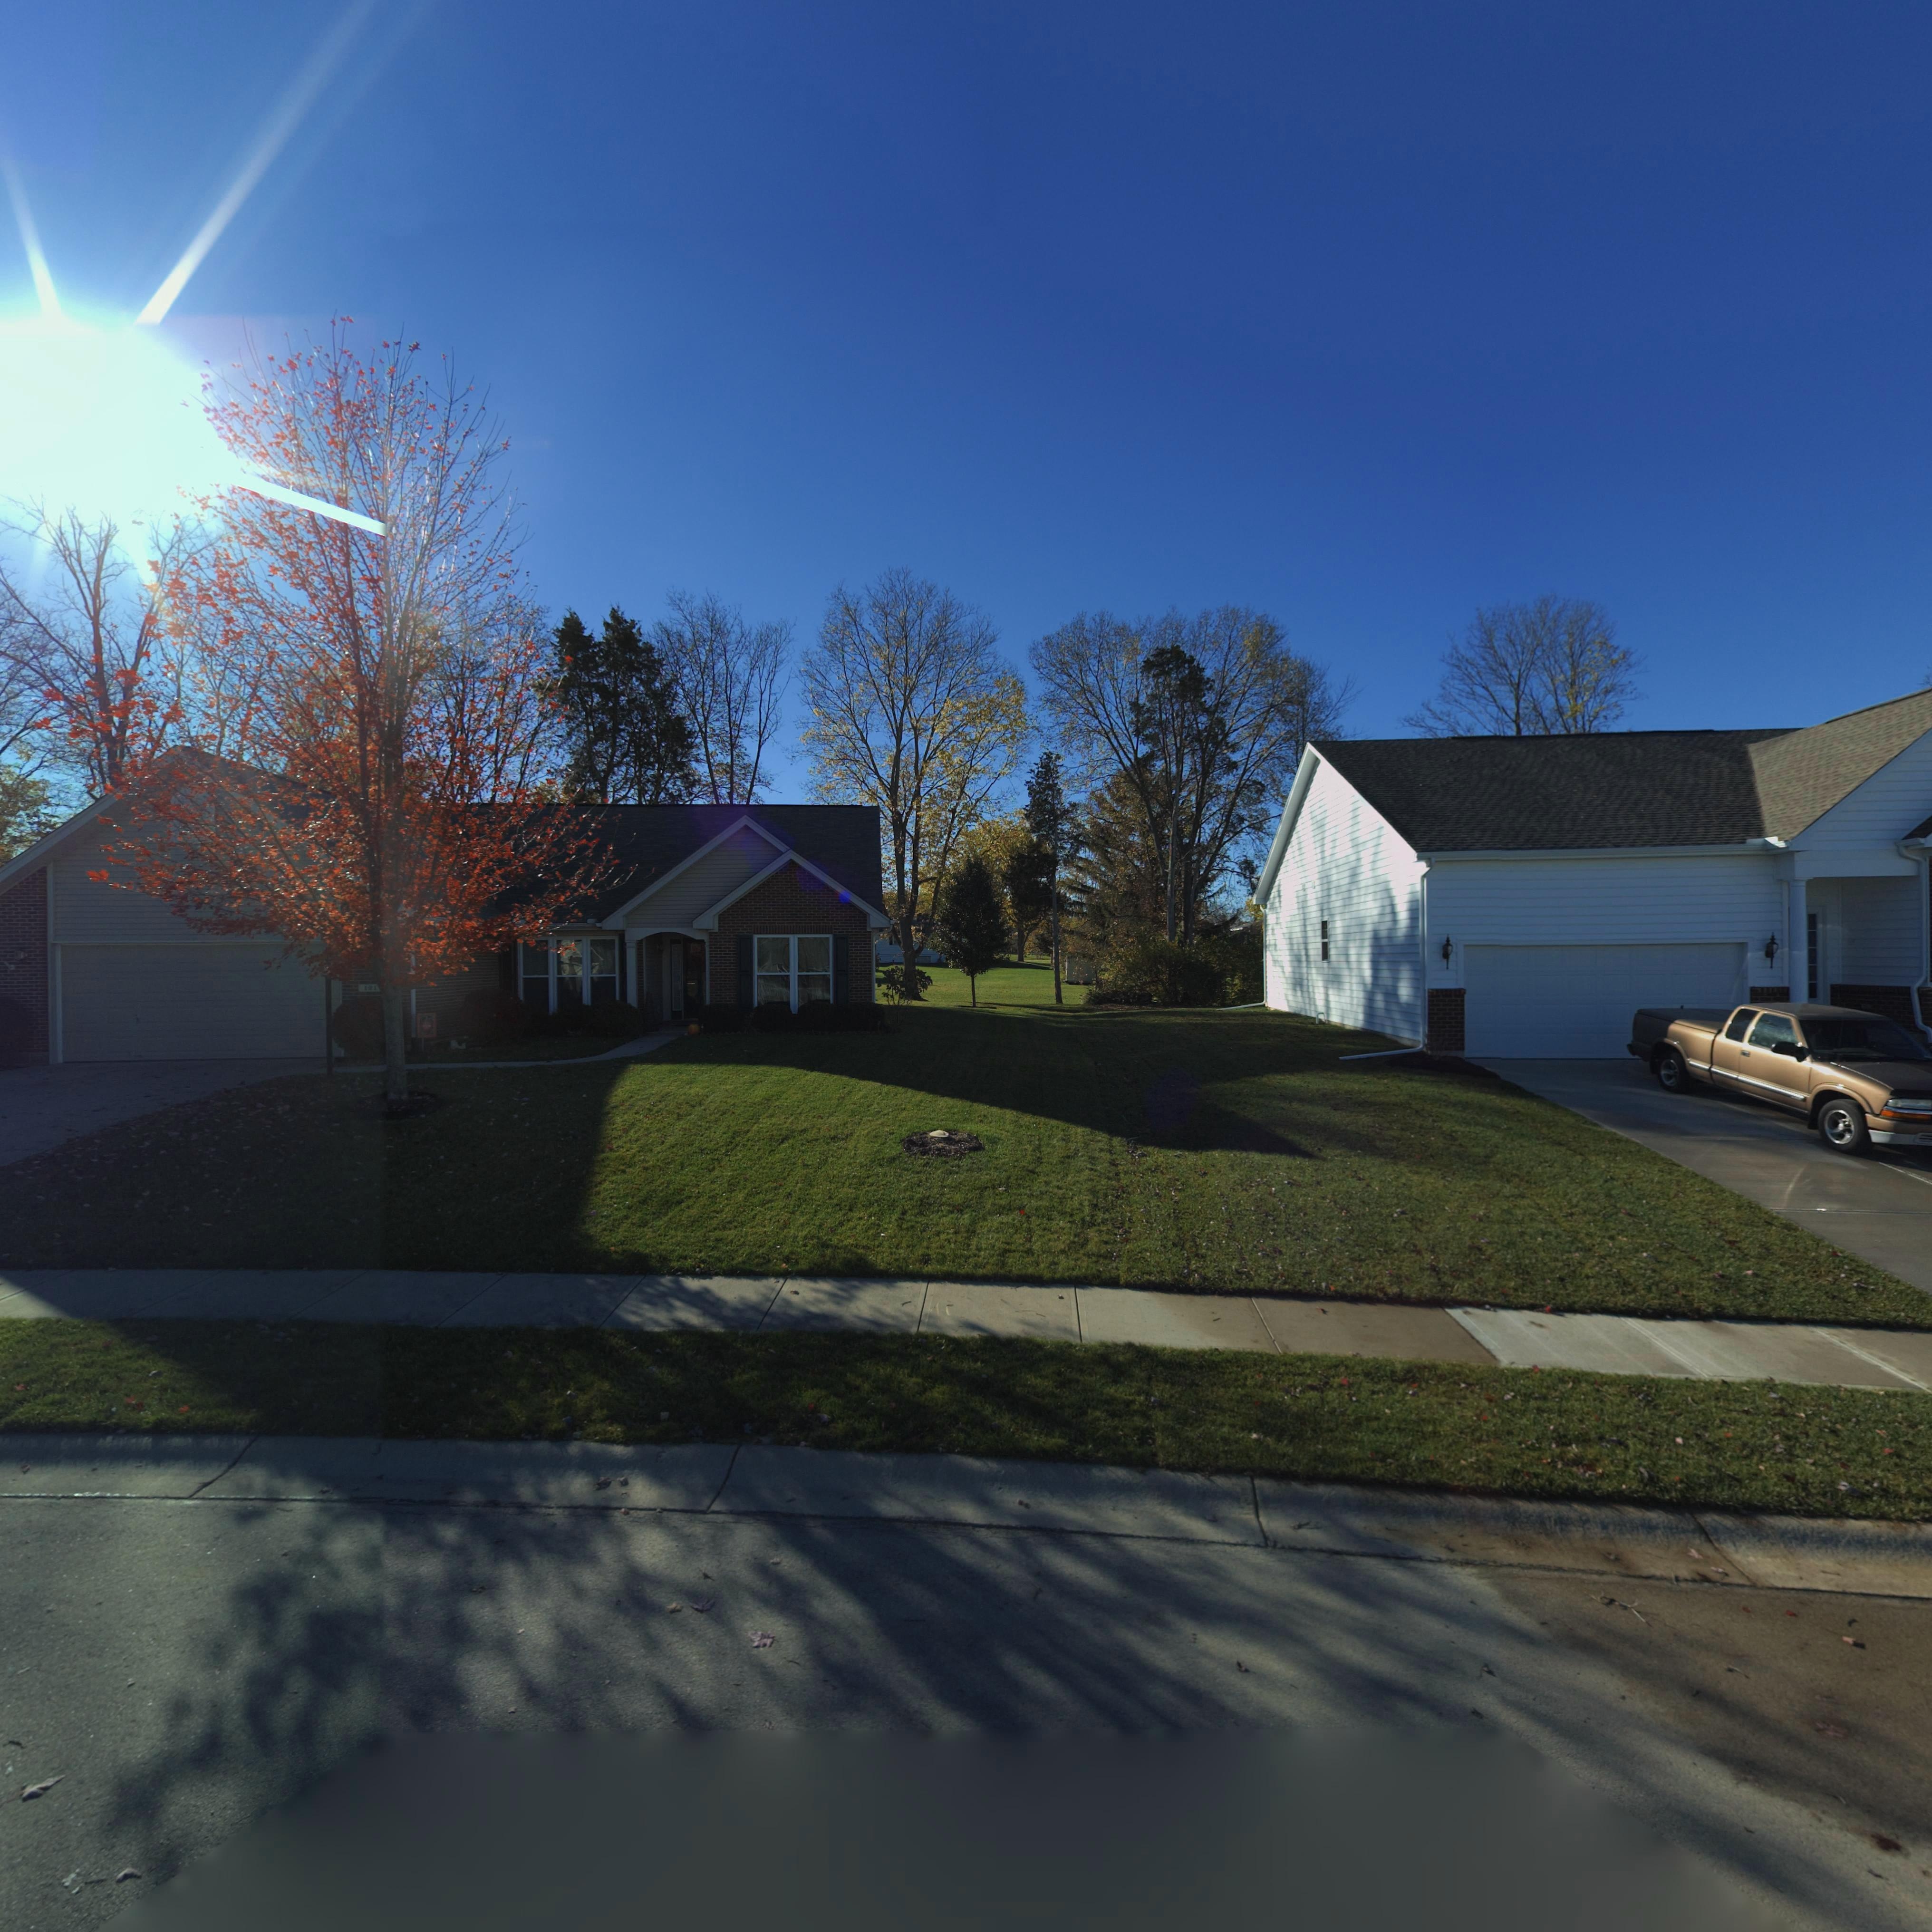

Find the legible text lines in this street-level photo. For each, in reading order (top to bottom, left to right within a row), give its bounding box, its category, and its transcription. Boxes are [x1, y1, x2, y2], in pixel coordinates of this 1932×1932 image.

[363, 985, 377, 991] StreetNumber: 121